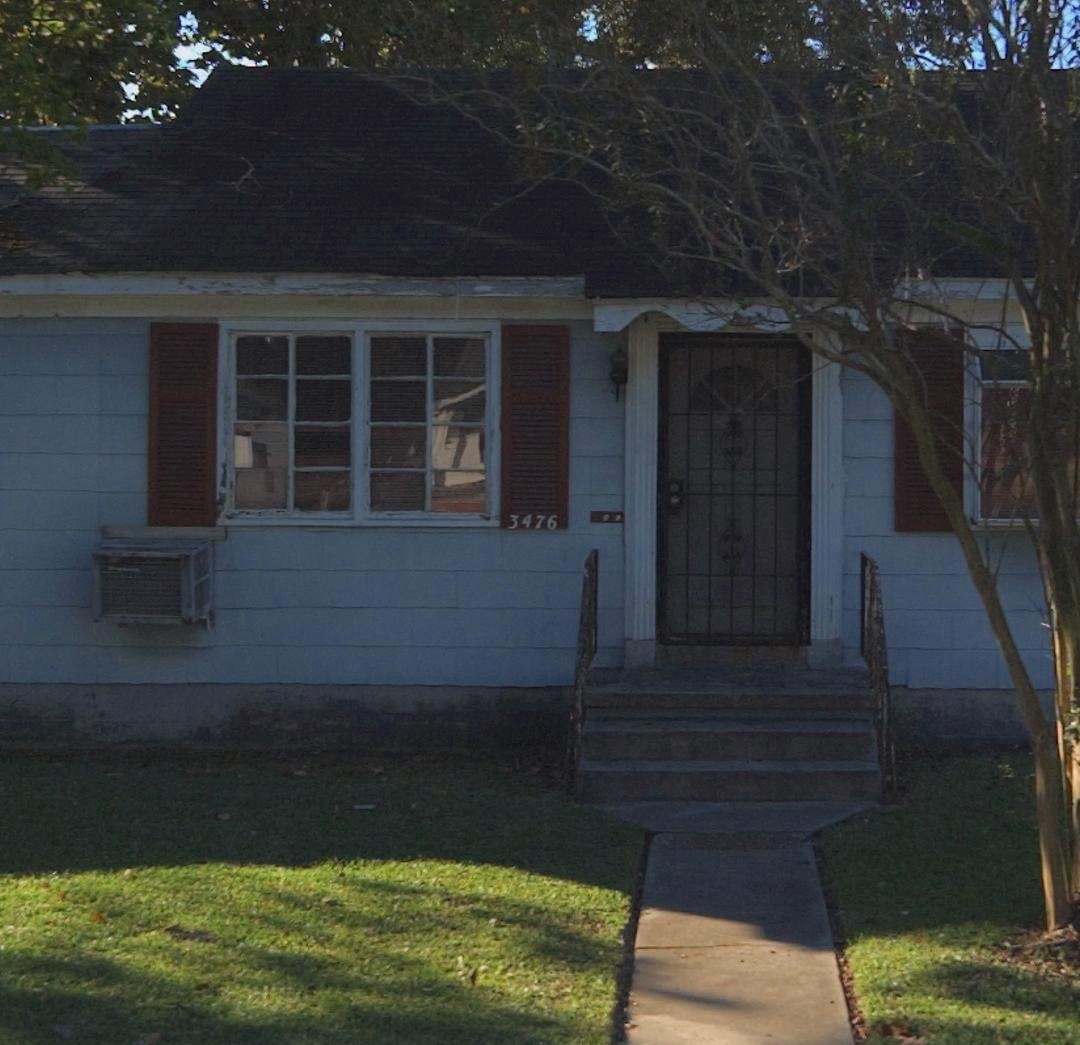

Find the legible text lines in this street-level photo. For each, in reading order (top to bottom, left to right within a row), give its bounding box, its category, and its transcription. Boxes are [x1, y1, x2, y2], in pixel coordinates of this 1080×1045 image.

[508, 513, 559, 531] StreetNumber: 3476